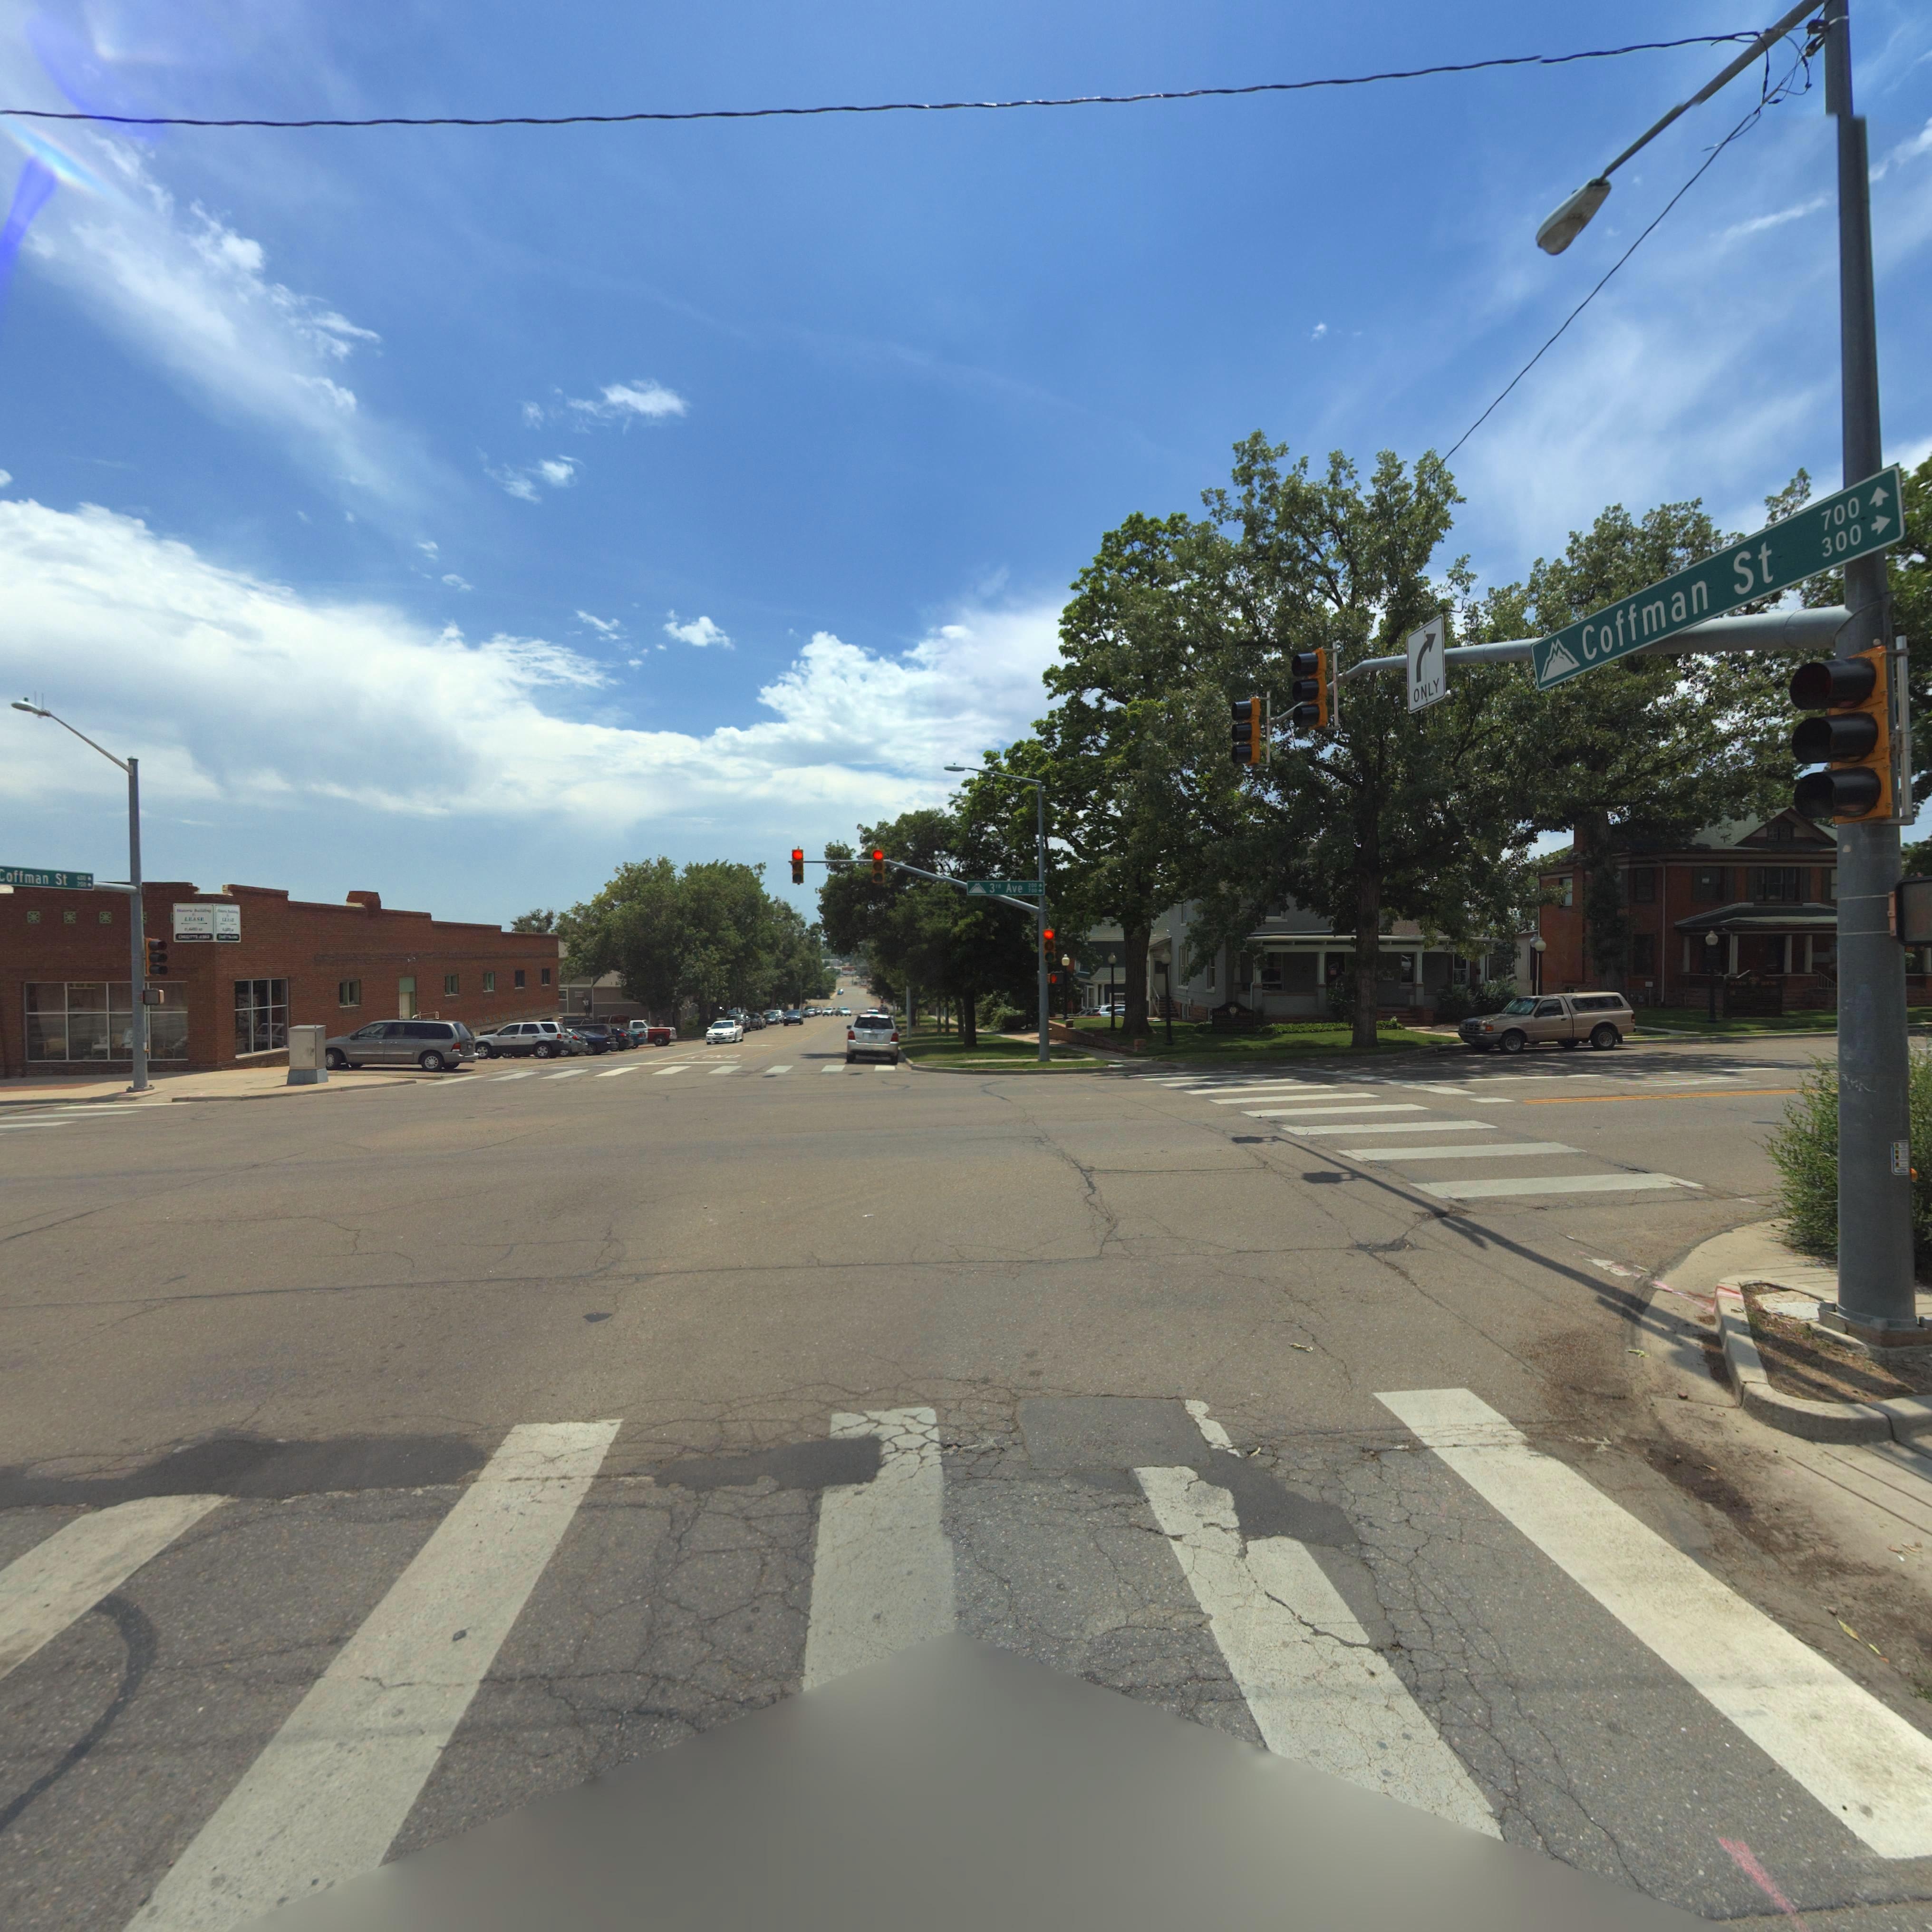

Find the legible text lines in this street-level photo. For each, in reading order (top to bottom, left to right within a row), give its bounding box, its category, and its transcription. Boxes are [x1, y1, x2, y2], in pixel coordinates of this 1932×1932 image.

[1819, 495, 1860, 531] StreetNumberRange: 700
[1820, 513, 1893, 558] StreetNumberRange: 300->
[1580, 539, 1775, 662] StreetName: Coffman St
[5, 869, 68, 886] StreetName: offman St
[76, 874, 87, 880] StreetName: **0
[76, 880, 92, 888] StreetNumberRange: 2**->
[989, 883, 1023, 893] StreetName: 3** Ave
[1028, 883, 1037, 888] StreetNumberRange: 200
[1027, 888, 1043, 893] StreetNumberRange: 700->
[1748, 976, 1760, 982] StreetNumber: *0*